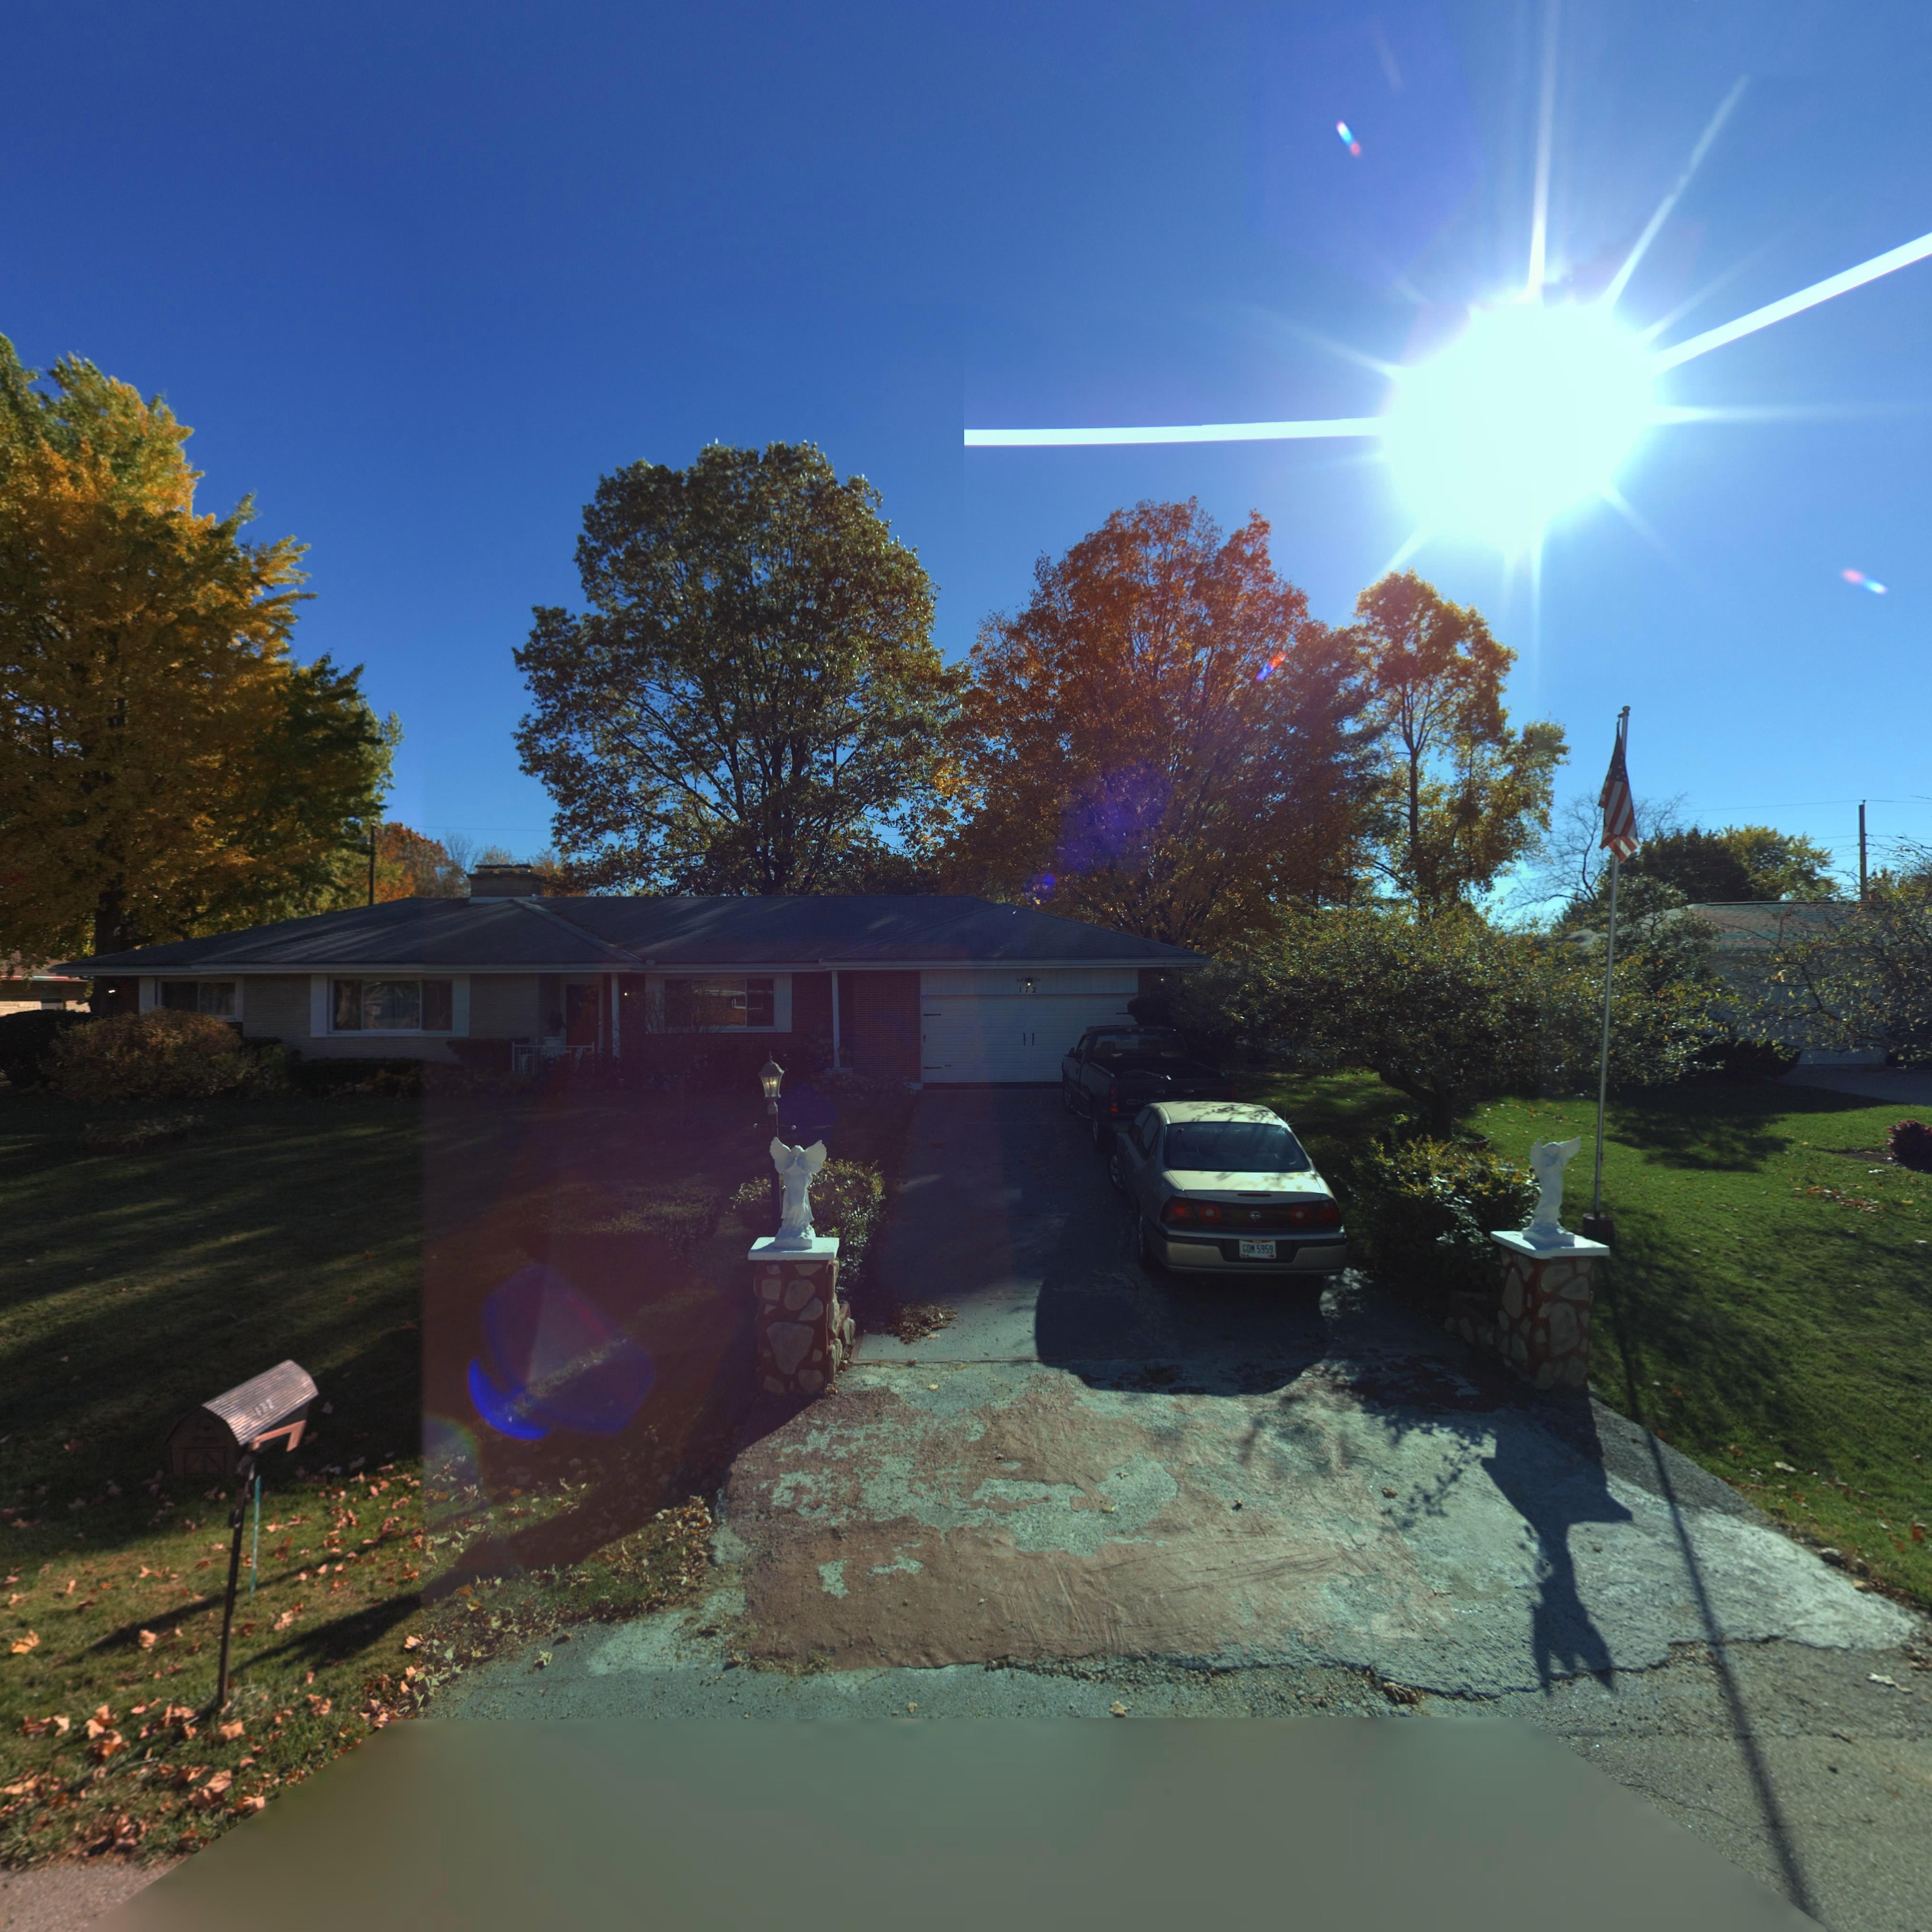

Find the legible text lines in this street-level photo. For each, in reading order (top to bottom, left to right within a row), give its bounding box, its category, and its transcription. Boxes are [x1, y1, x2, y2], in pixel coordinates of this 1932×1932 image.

[1018, 985, 1037, 994] StreetNumber: 172
[253, 1397, 275, 1417] StreetNumber: 172